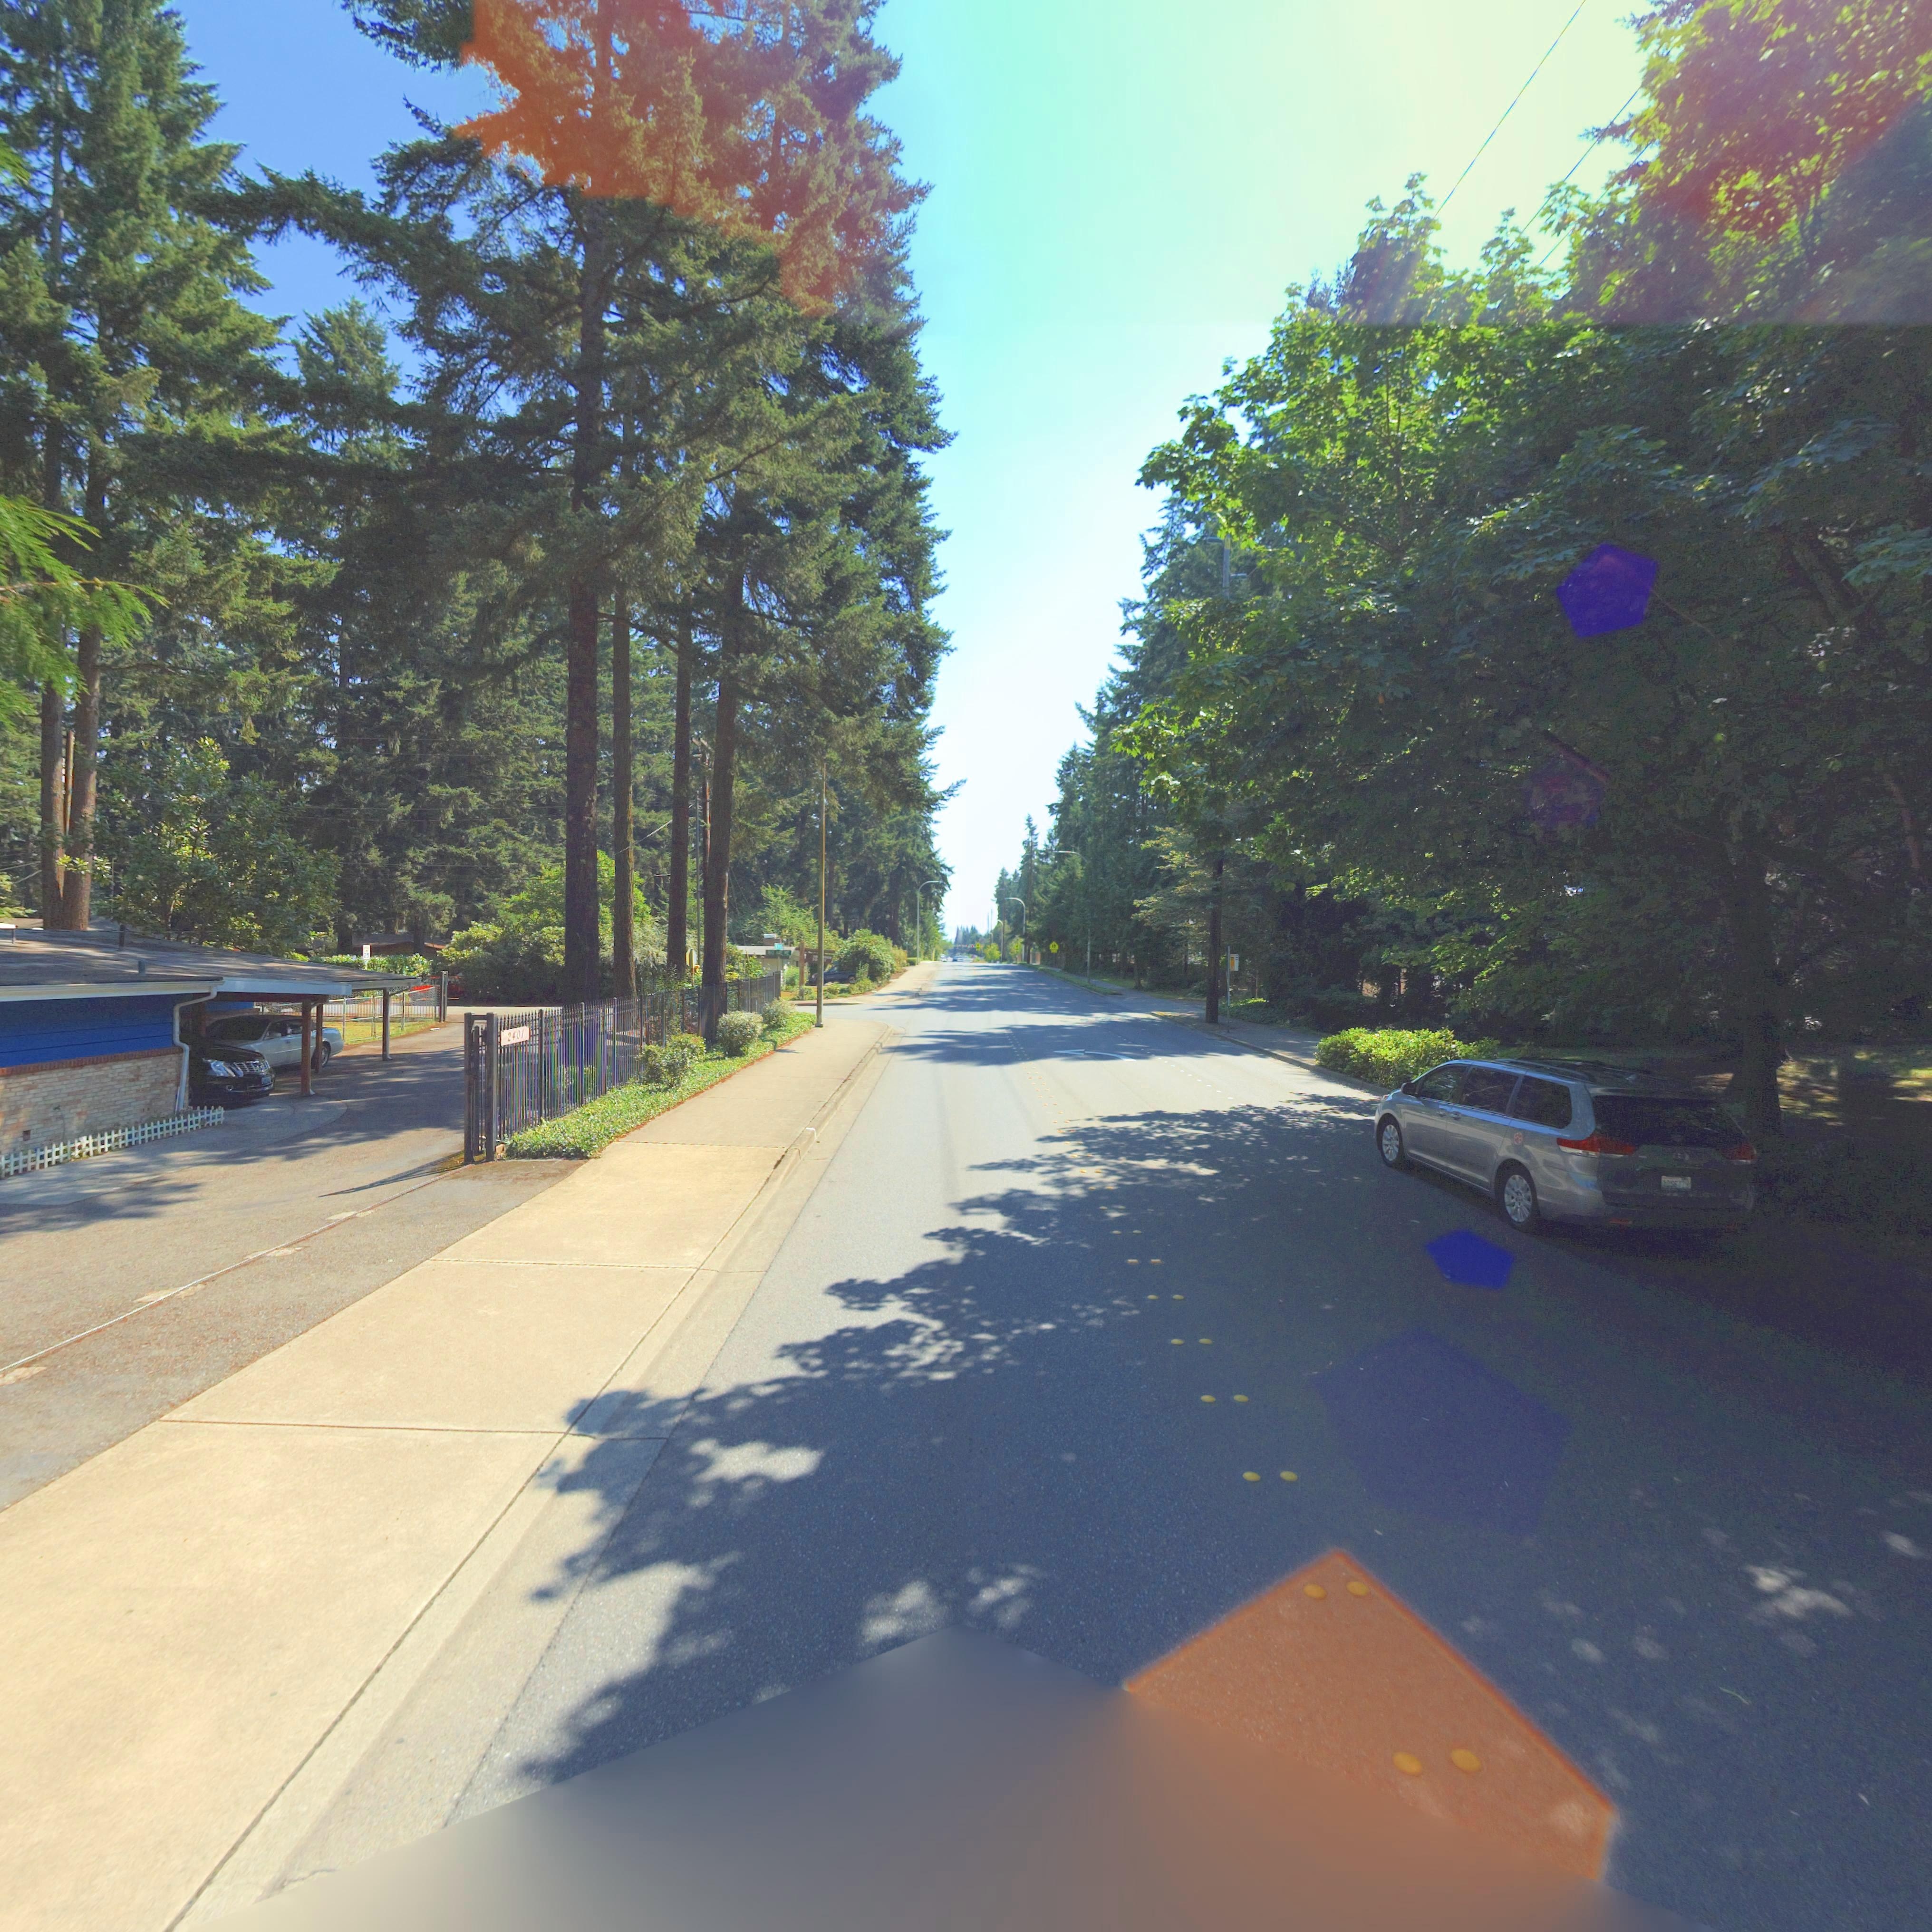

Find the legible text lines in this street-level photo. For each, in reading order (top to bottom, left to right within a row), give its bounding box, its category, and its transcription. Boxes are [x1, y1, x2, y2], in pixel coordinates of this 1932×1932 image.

[507, 1028, 524, 1042] StreetNumber: 2401